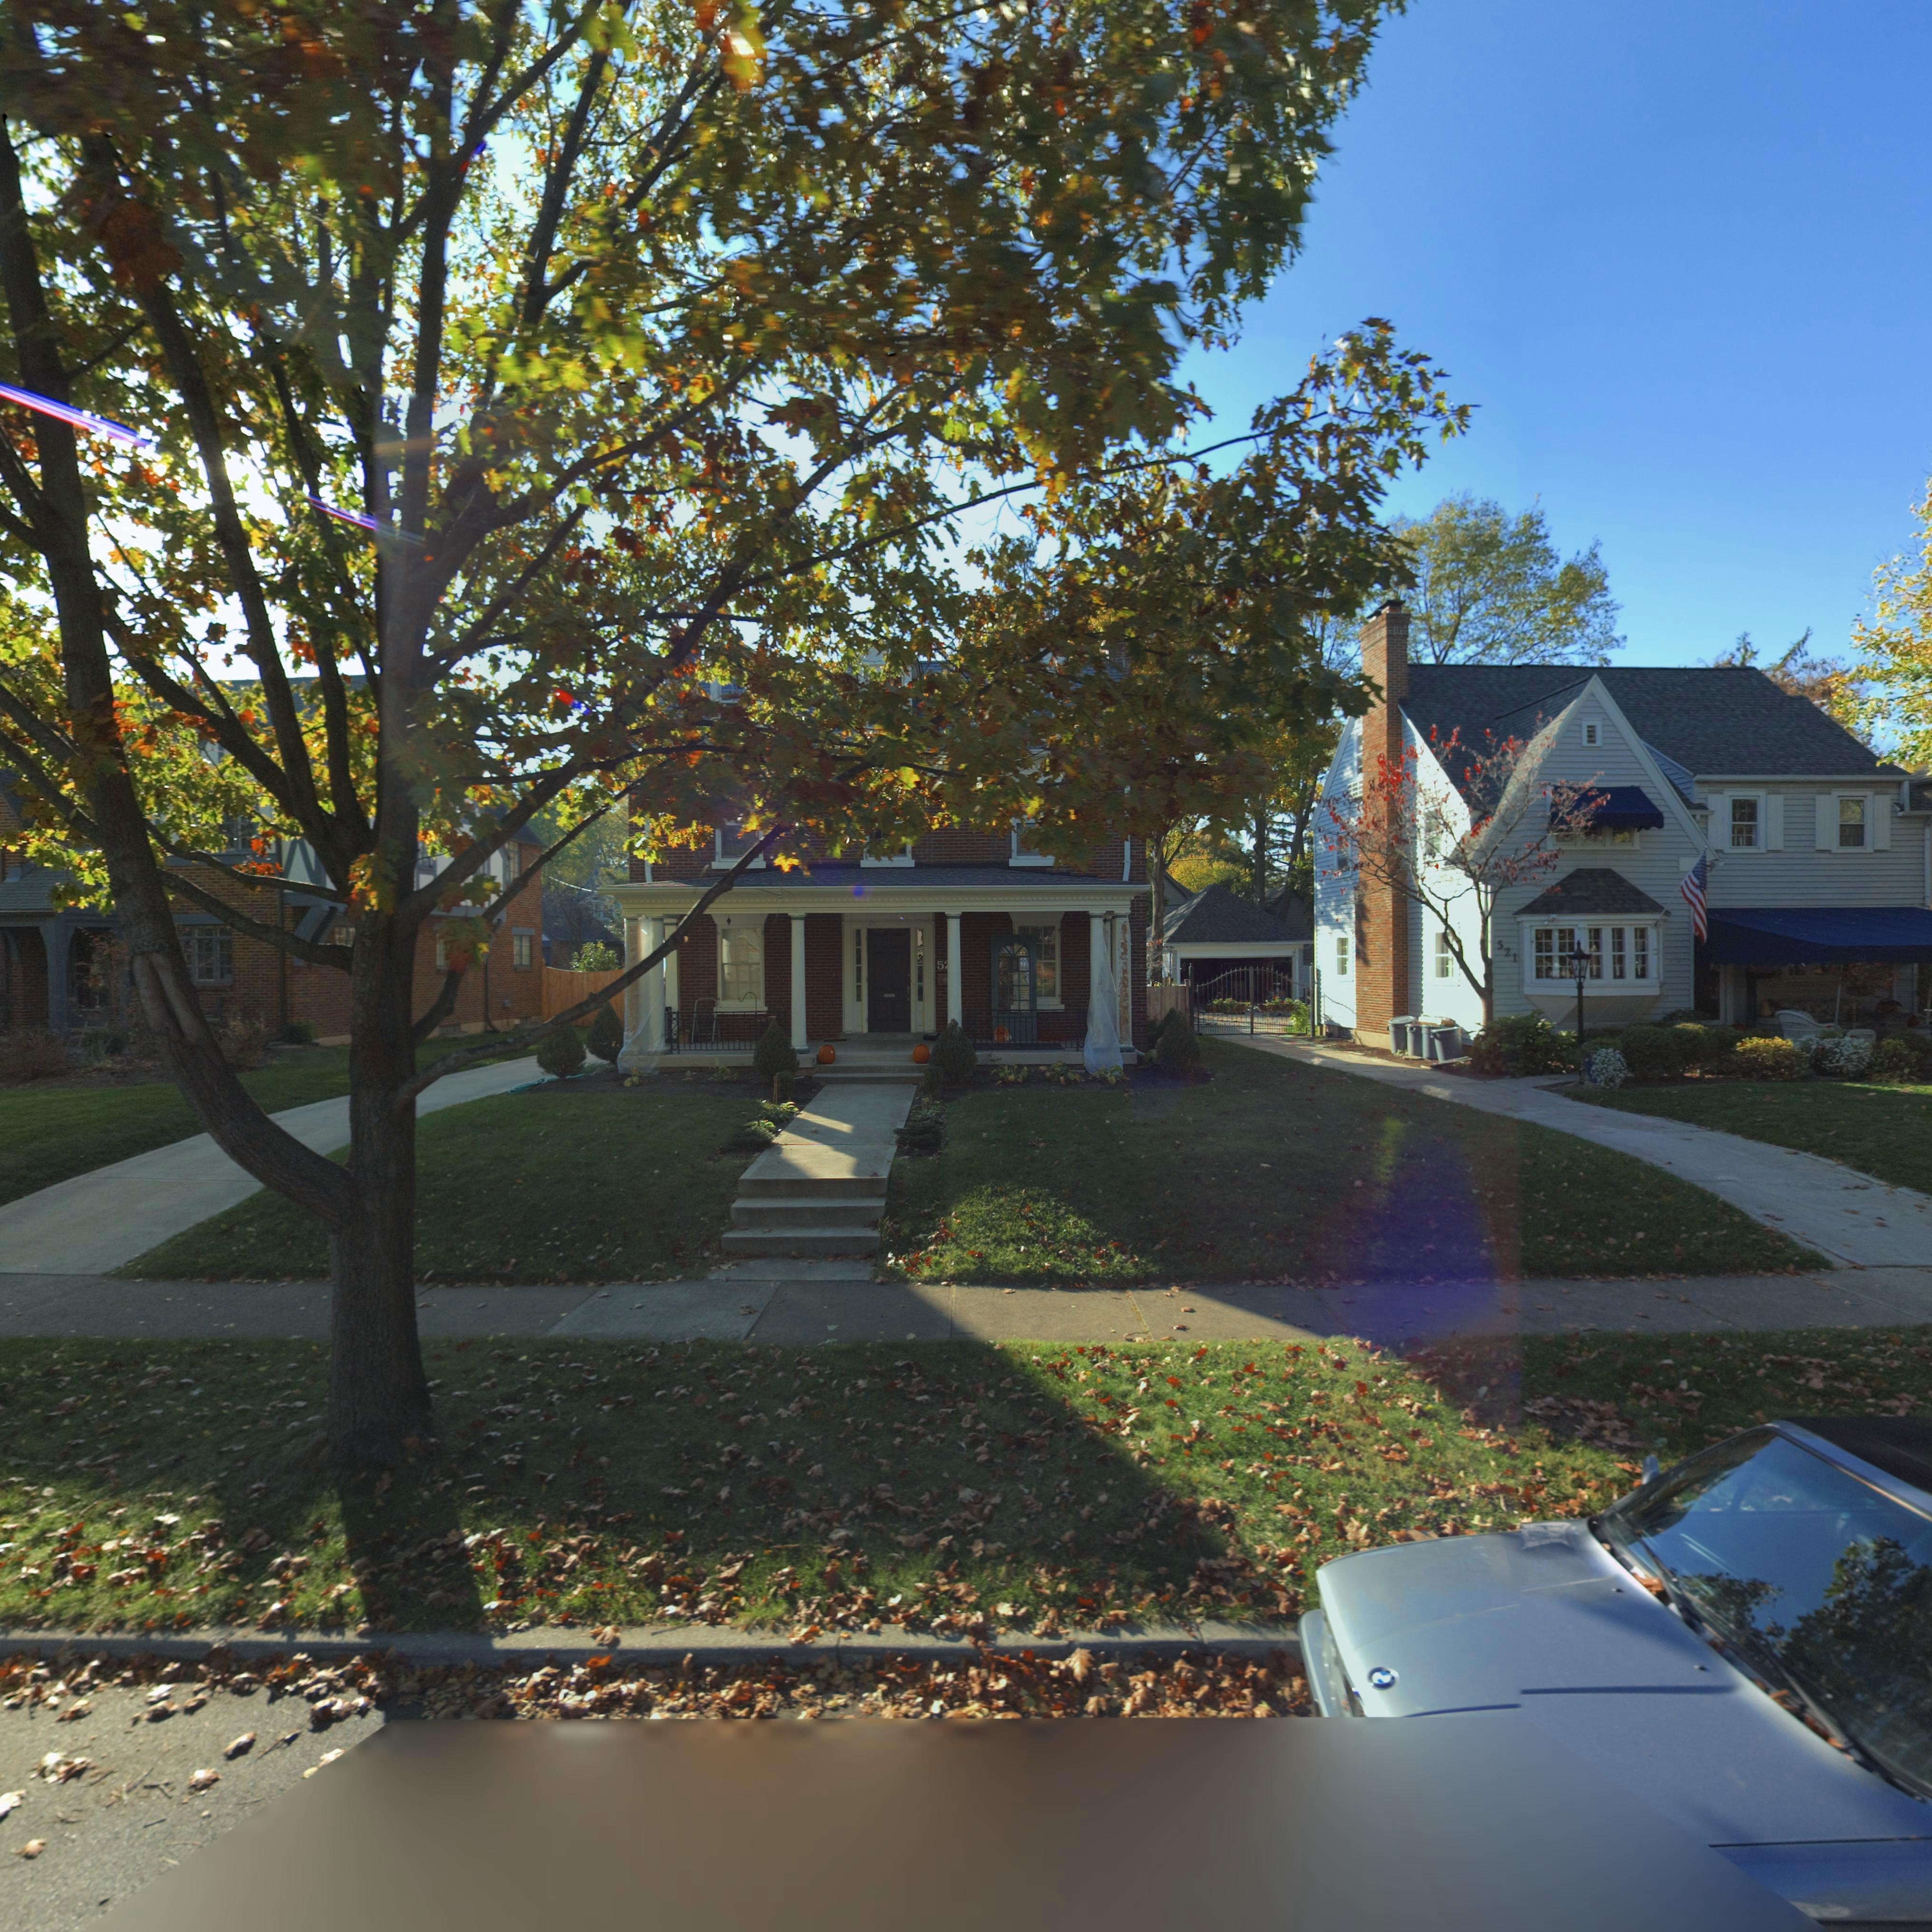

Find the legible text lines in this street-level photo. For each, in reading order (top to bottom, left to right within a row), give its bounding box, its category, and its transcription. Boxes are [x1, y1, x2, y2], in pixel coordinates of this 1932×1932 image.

[1496, 938, 1519, 964] StreetNumber: 521
[936, 960, 945, 971] StreetNumber: 5